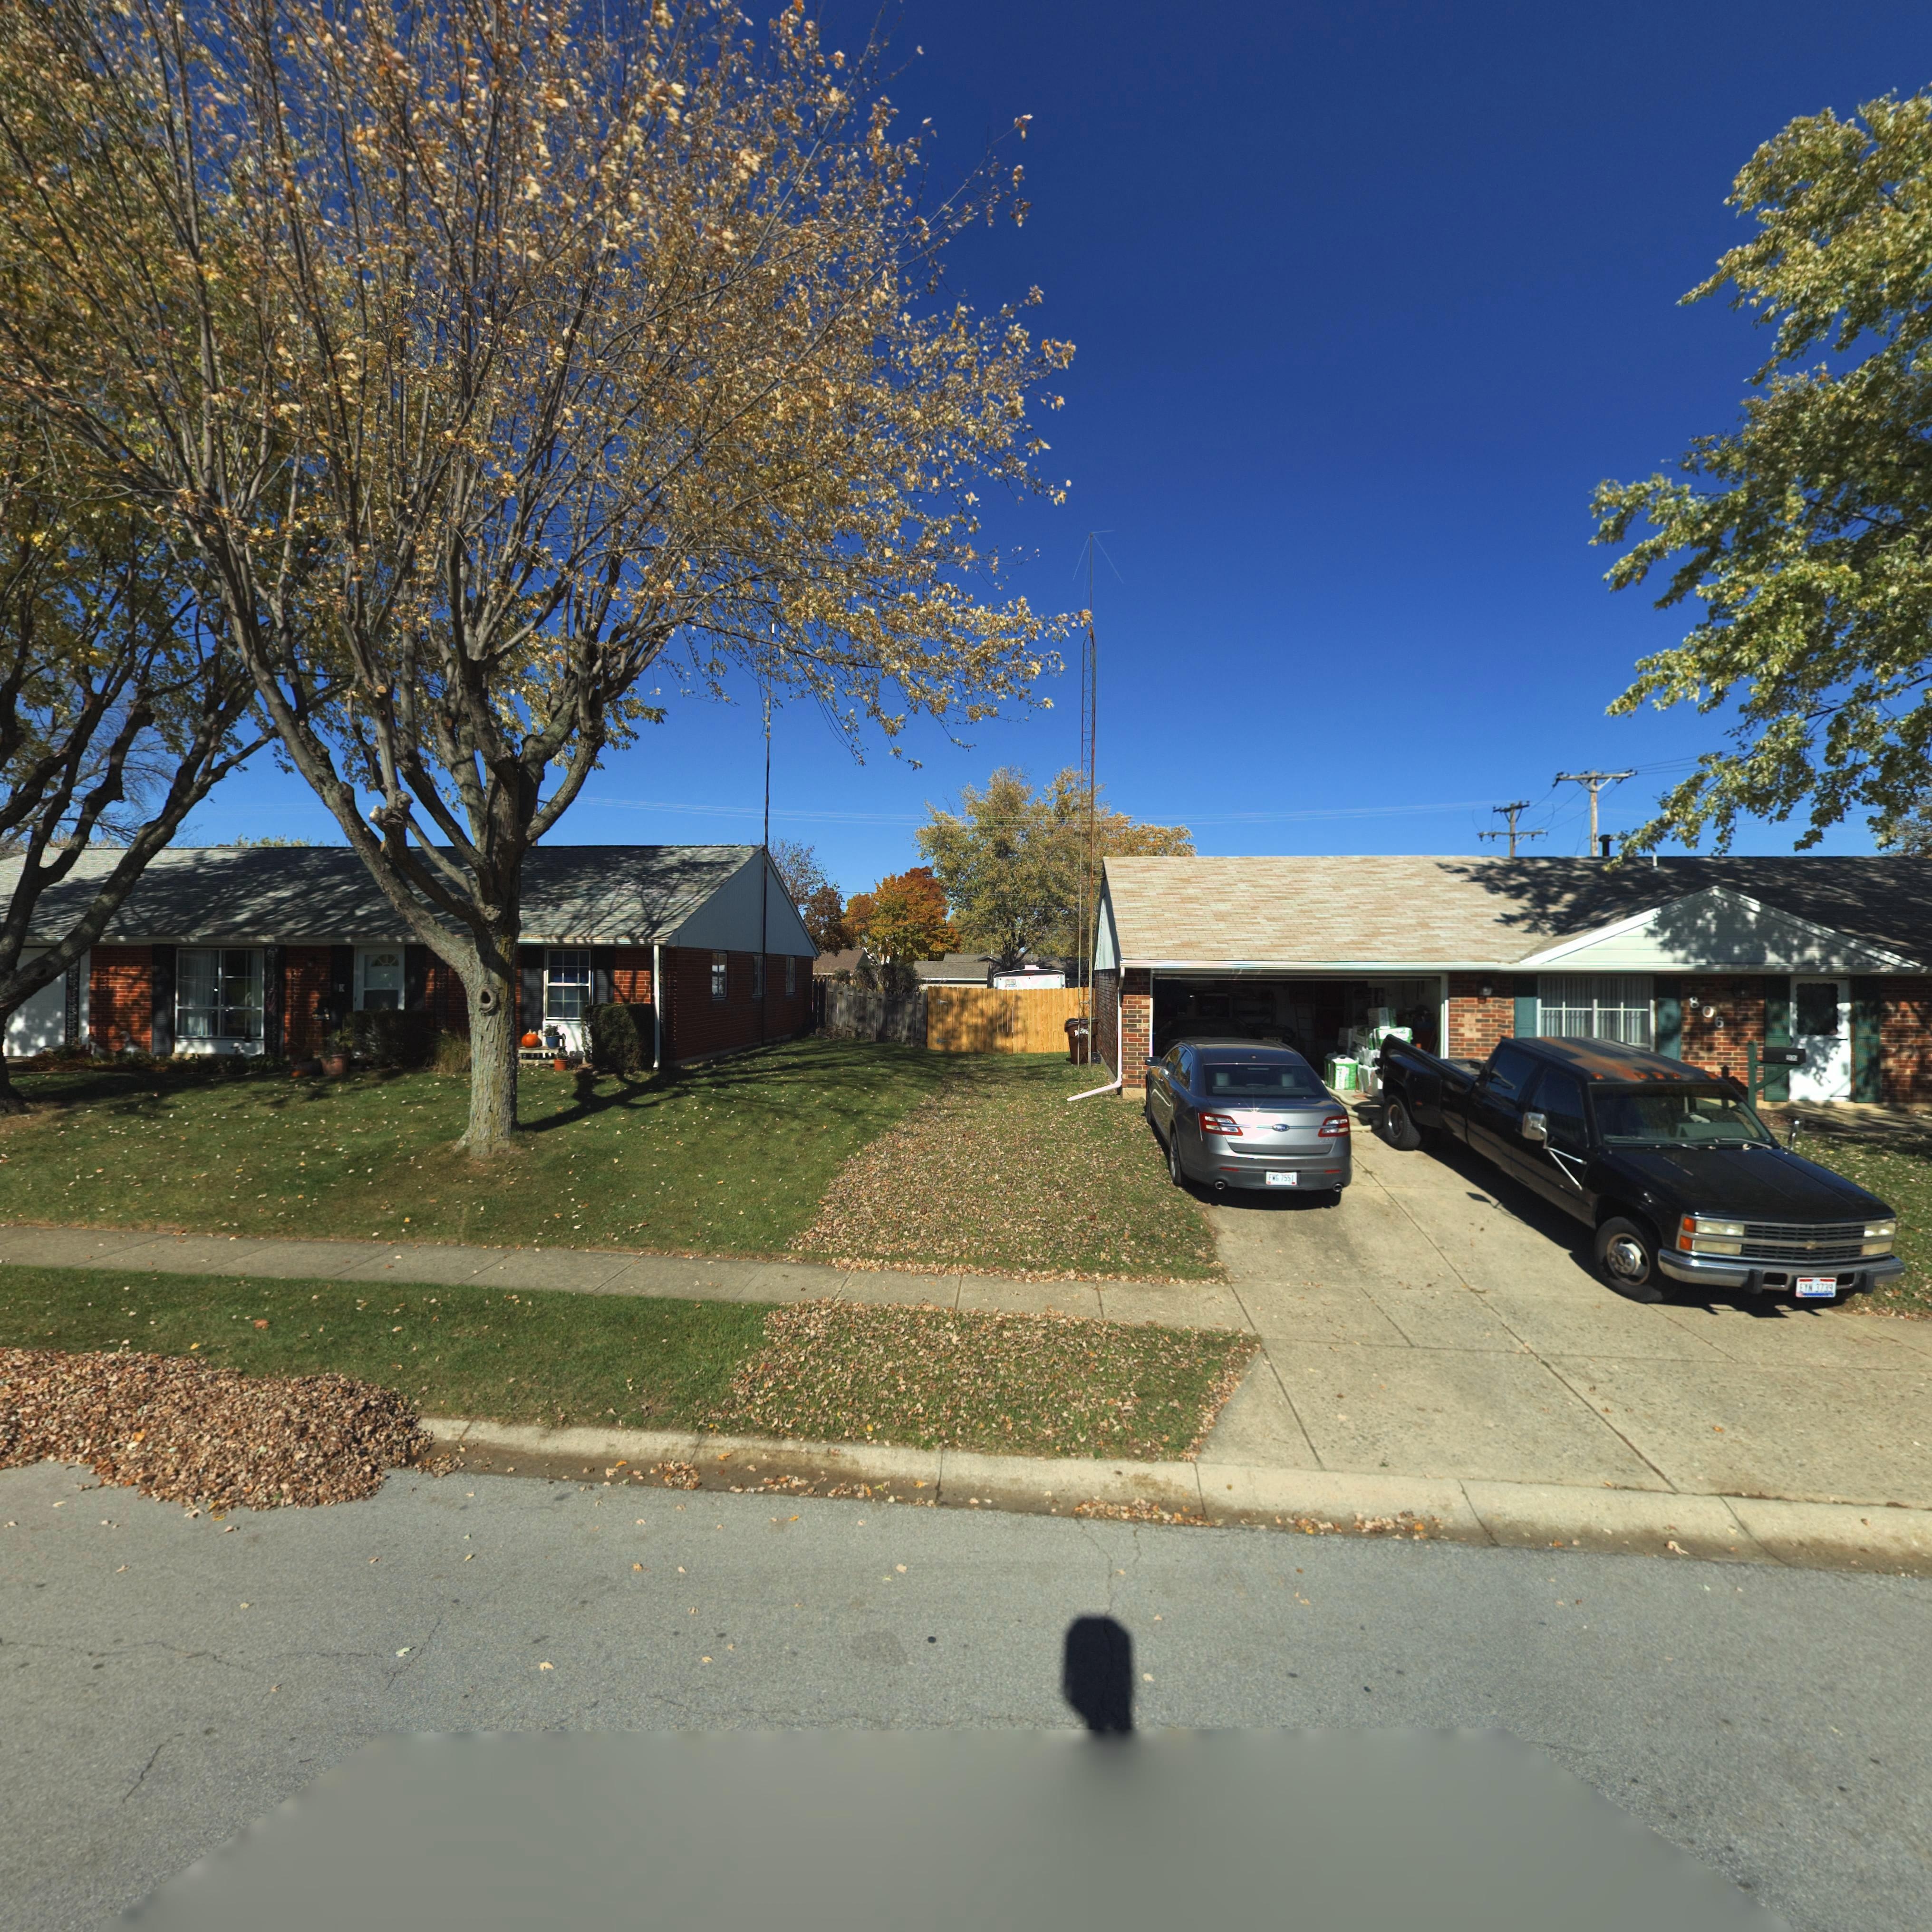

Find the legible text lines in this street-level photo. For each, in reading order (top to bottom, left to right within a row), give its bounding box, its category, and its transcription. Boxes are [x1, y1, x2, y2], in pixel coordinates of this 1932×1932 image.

[1689, 995, 1725, 1029] StreetNumber: 806
[1786, 1054, 1798, 1061] StreetNumber: 80*